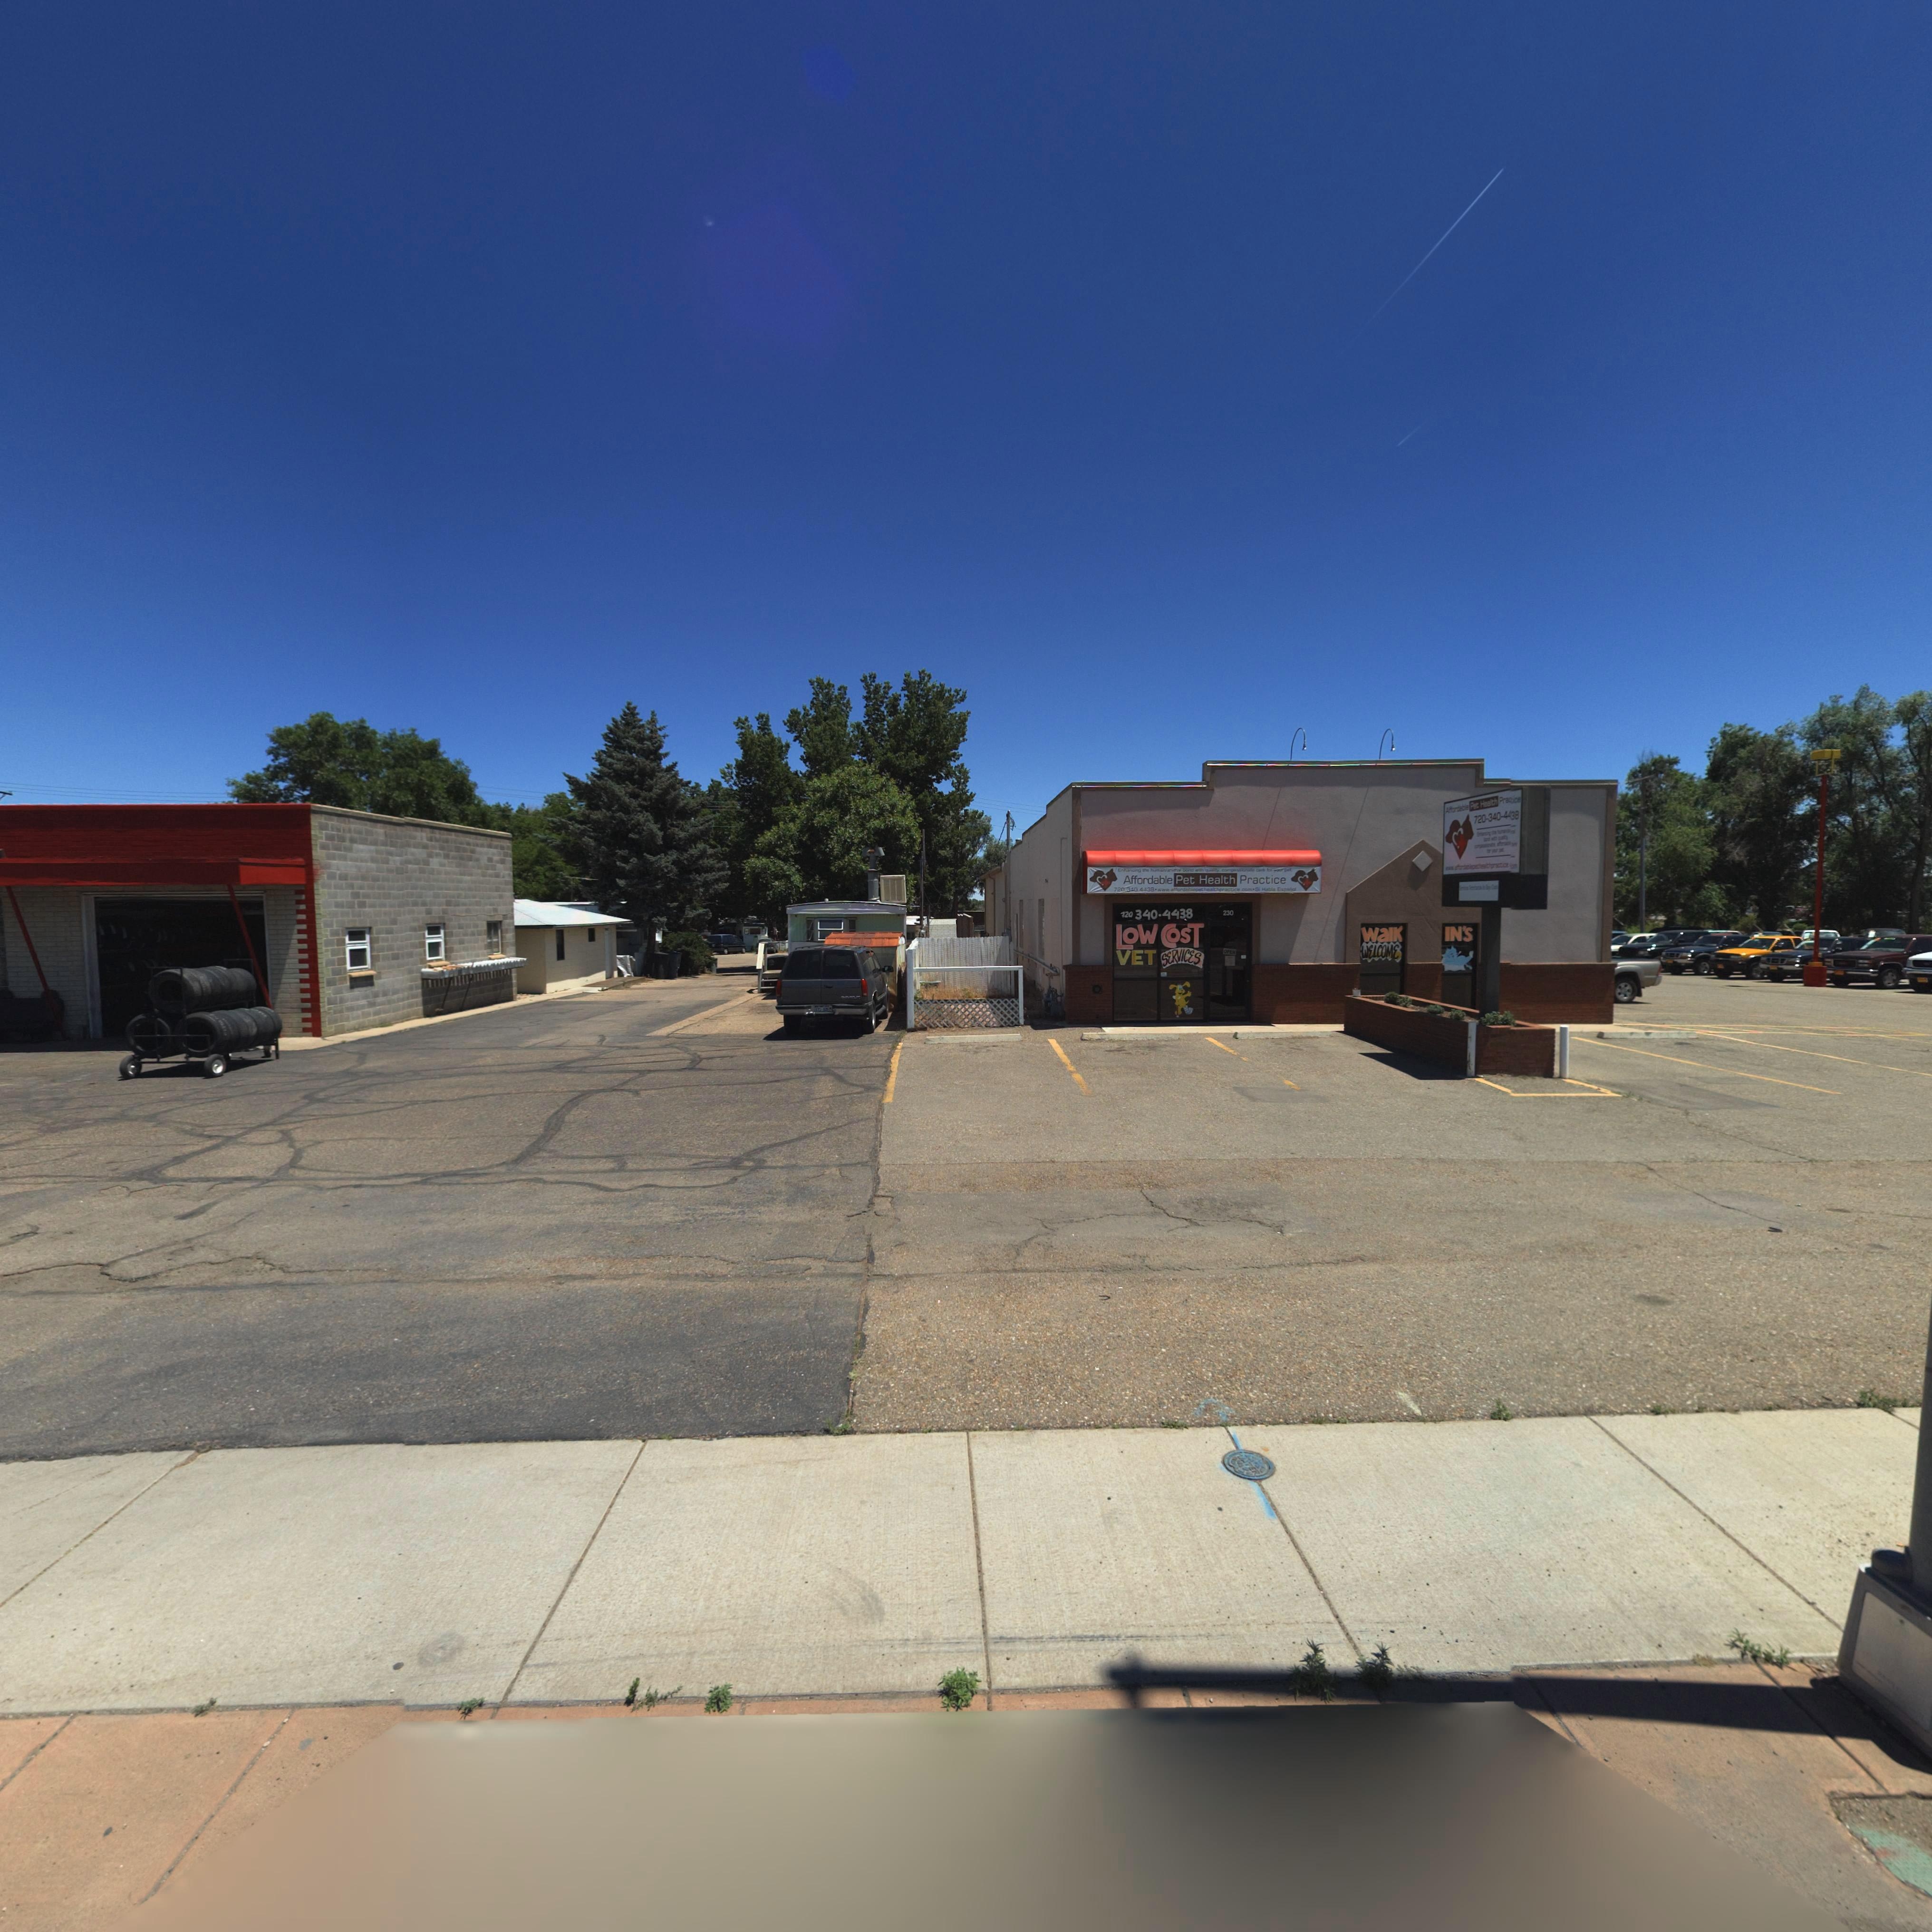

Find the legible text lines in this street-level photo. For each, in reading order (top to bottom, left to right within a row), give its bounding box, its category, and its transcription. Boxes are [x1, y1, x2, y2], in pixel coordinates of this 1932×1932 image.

[1444, 796, 1521, 814] BusinessName: Affordable Pet Health Prac*ice
[1122, 875, 1286, 885] BusinessName: Affordable Pet Health Practice
[1222, 910, 1234, 916] StreetNumber: 230